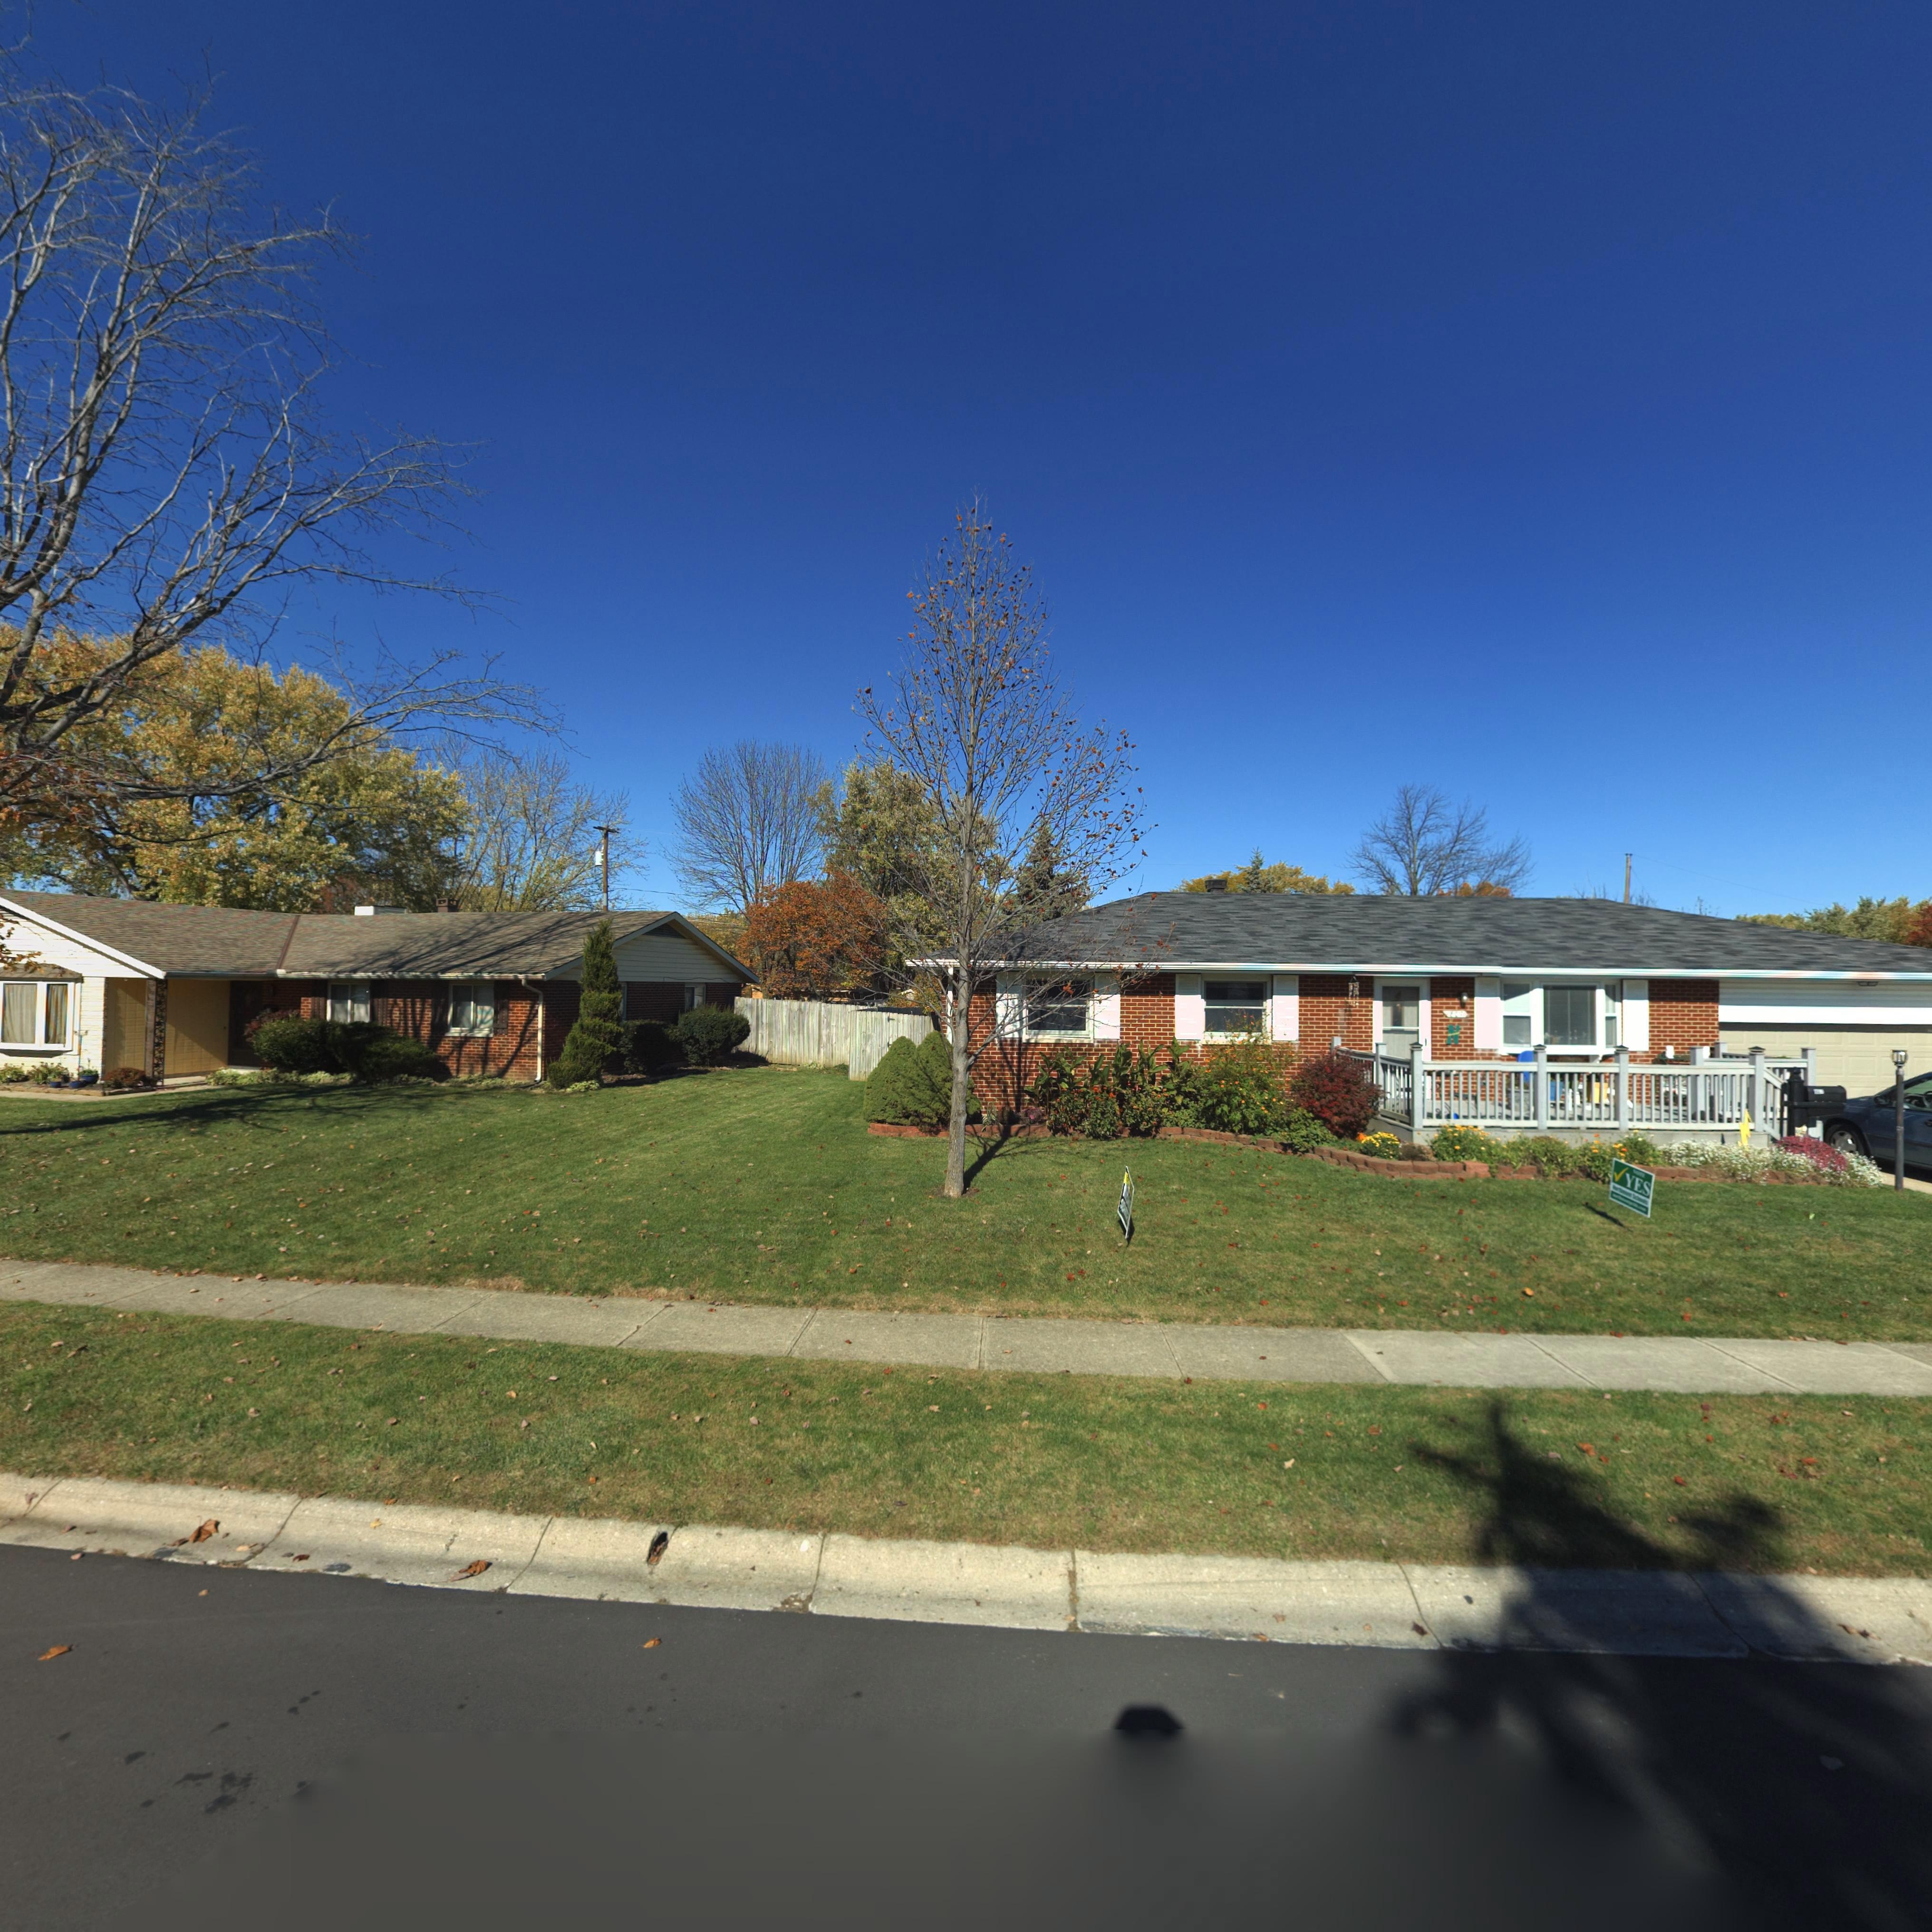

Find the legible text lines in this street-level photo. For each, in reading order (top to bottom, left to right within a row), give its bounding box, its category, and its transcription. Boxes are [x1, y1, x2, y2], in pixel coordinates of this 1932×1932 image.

[1449, 1011, 1463, 1017] StreetNumber: 80*